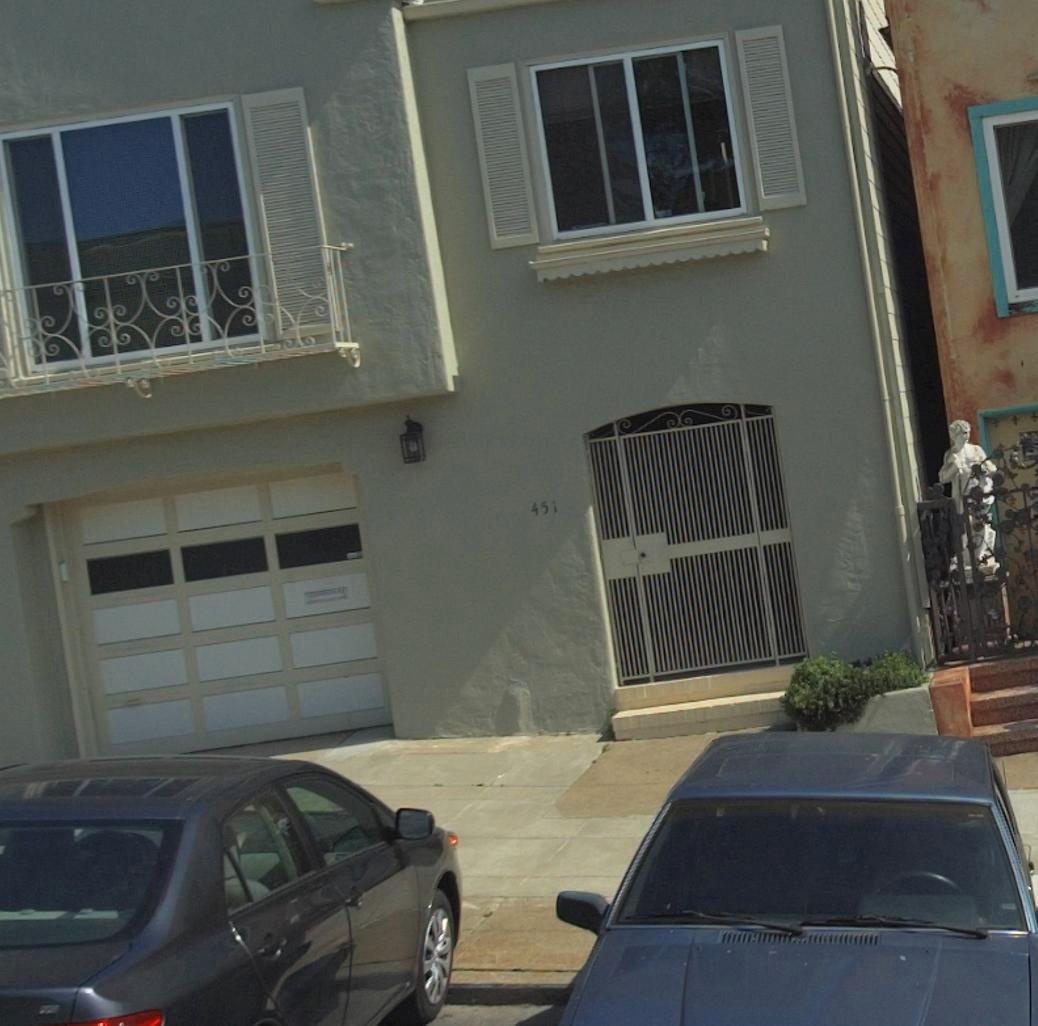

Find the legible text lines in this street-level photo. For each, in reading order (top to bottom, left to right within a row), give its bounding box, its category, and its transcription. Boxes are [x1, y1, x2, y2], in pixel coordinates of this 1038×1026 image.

[528, 496, 560, 519] StreetNumber: 451